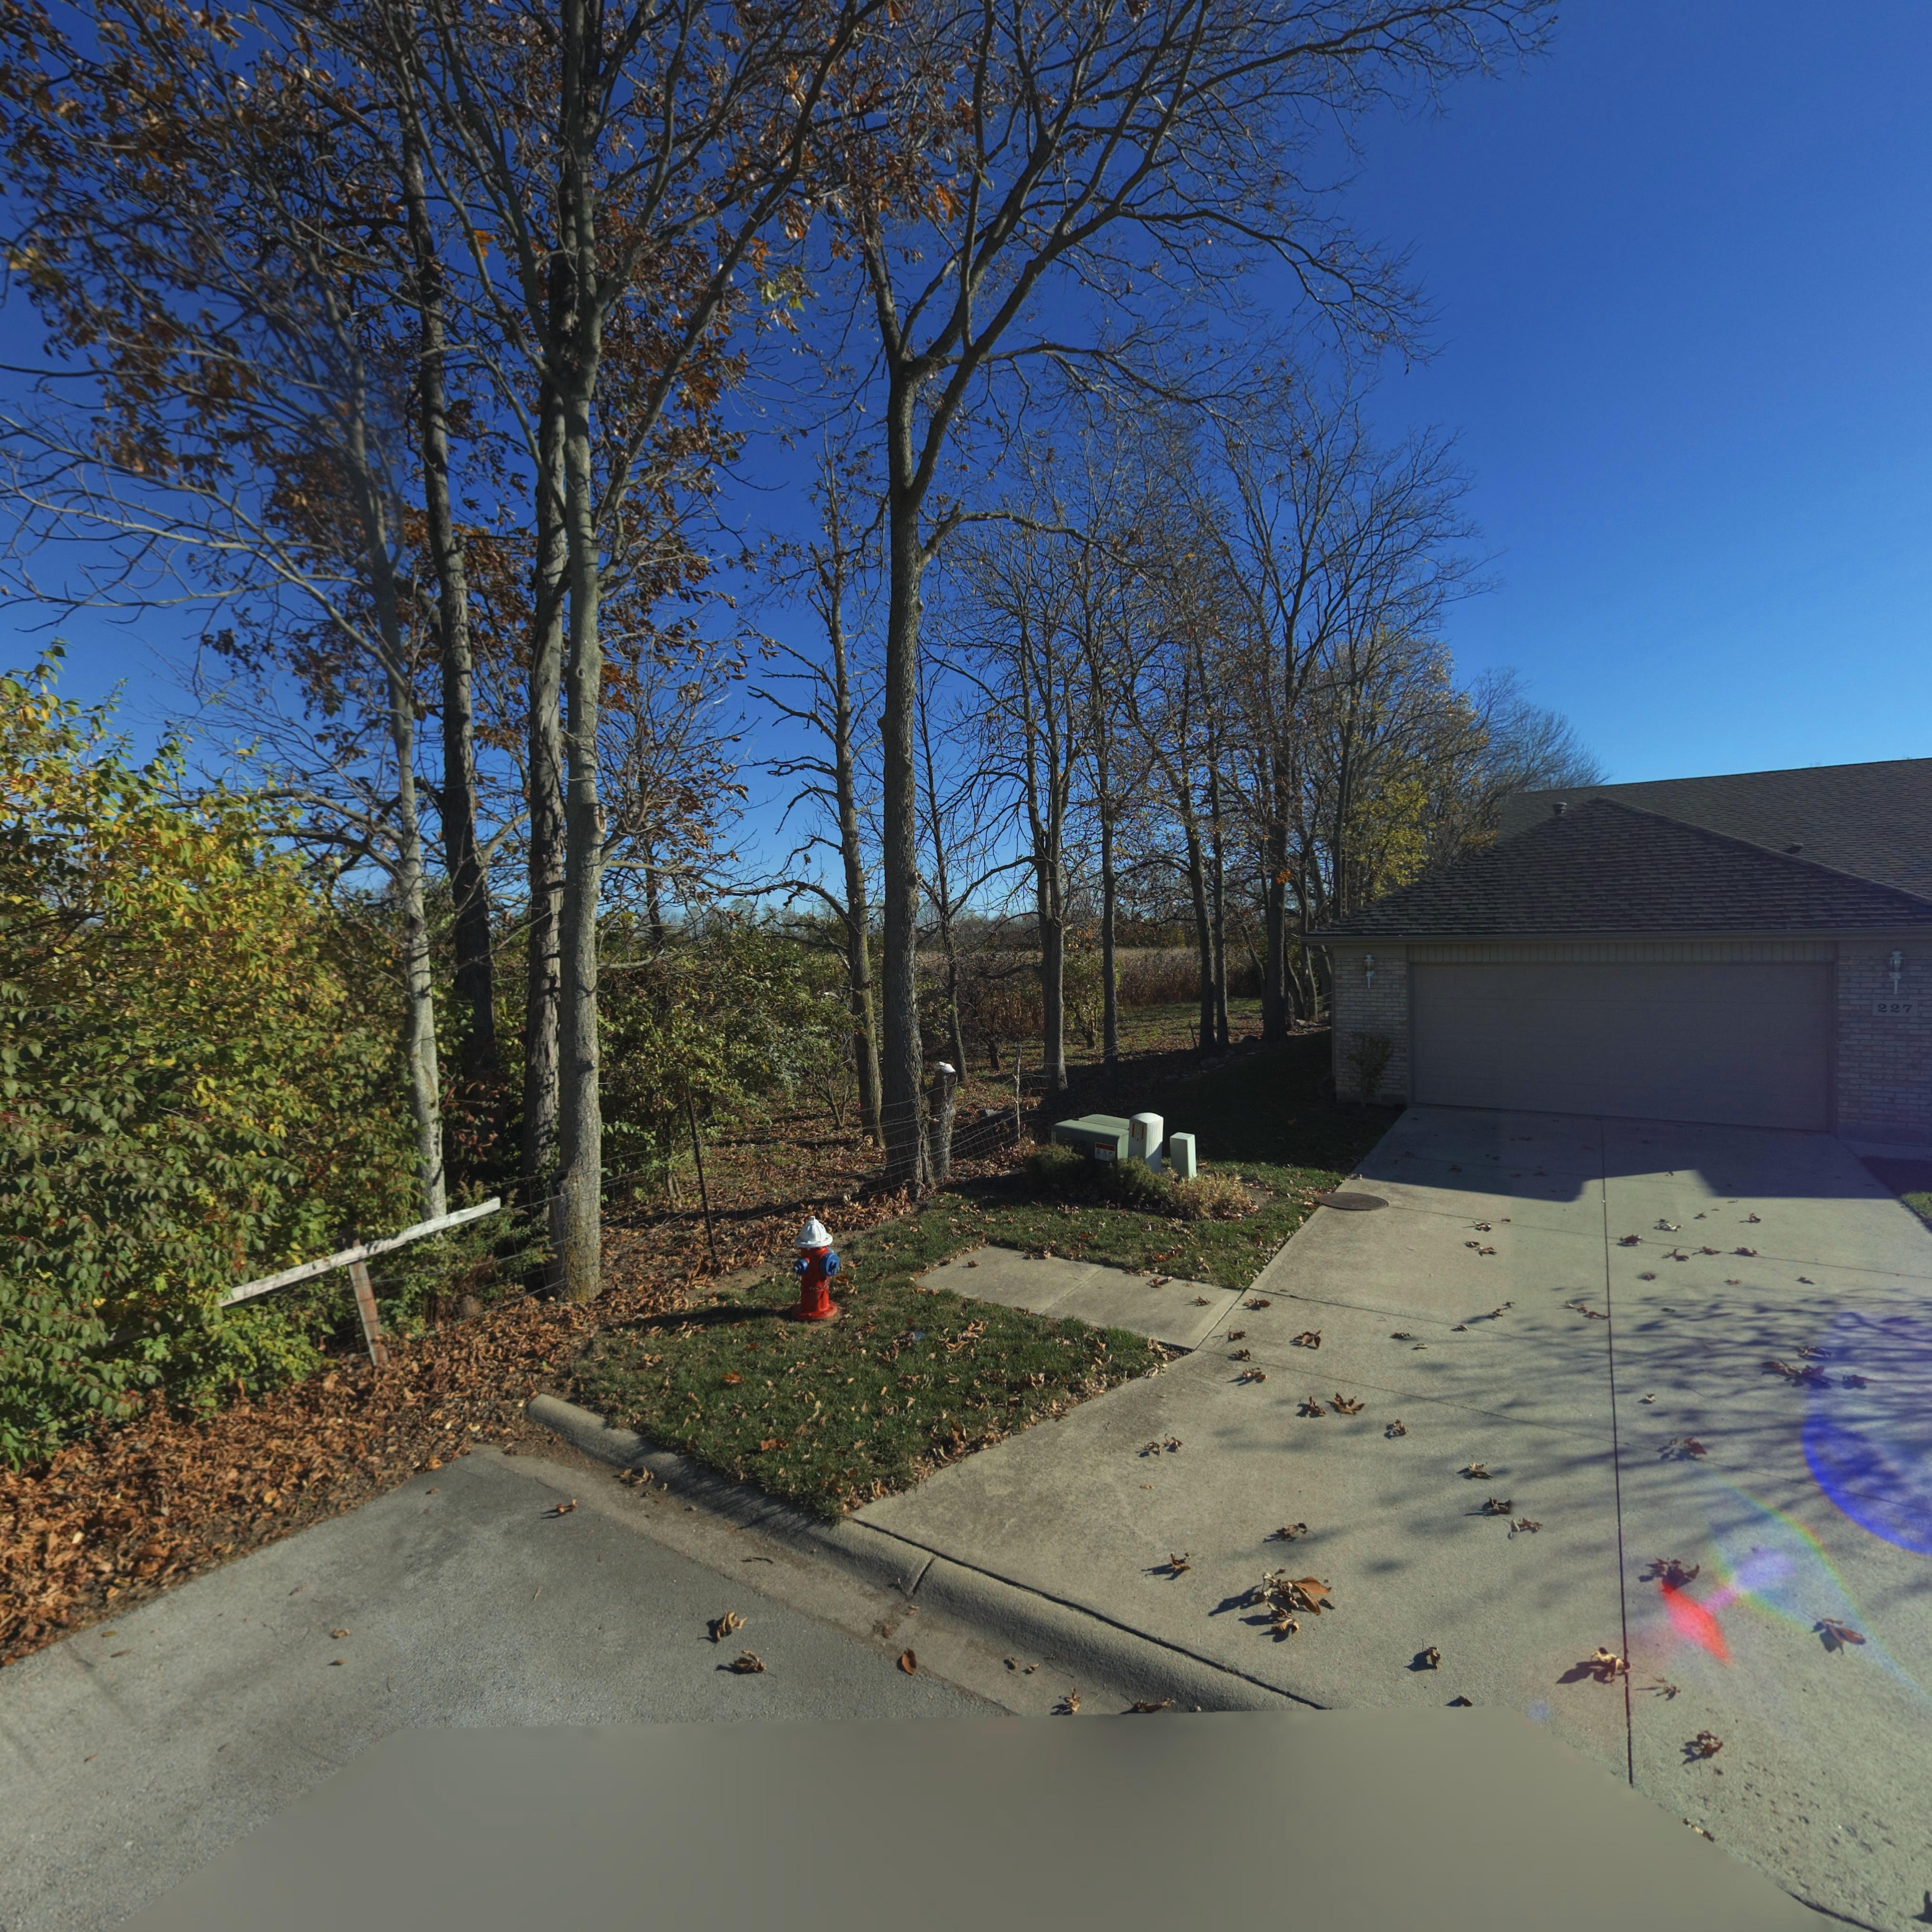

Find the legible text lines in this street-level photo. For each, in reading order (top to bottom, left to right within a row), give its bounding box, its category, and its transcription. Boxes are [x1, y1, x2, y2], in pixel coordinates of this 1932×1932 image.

[1876, 1002, 1914, 1014] StreetNumber: 227